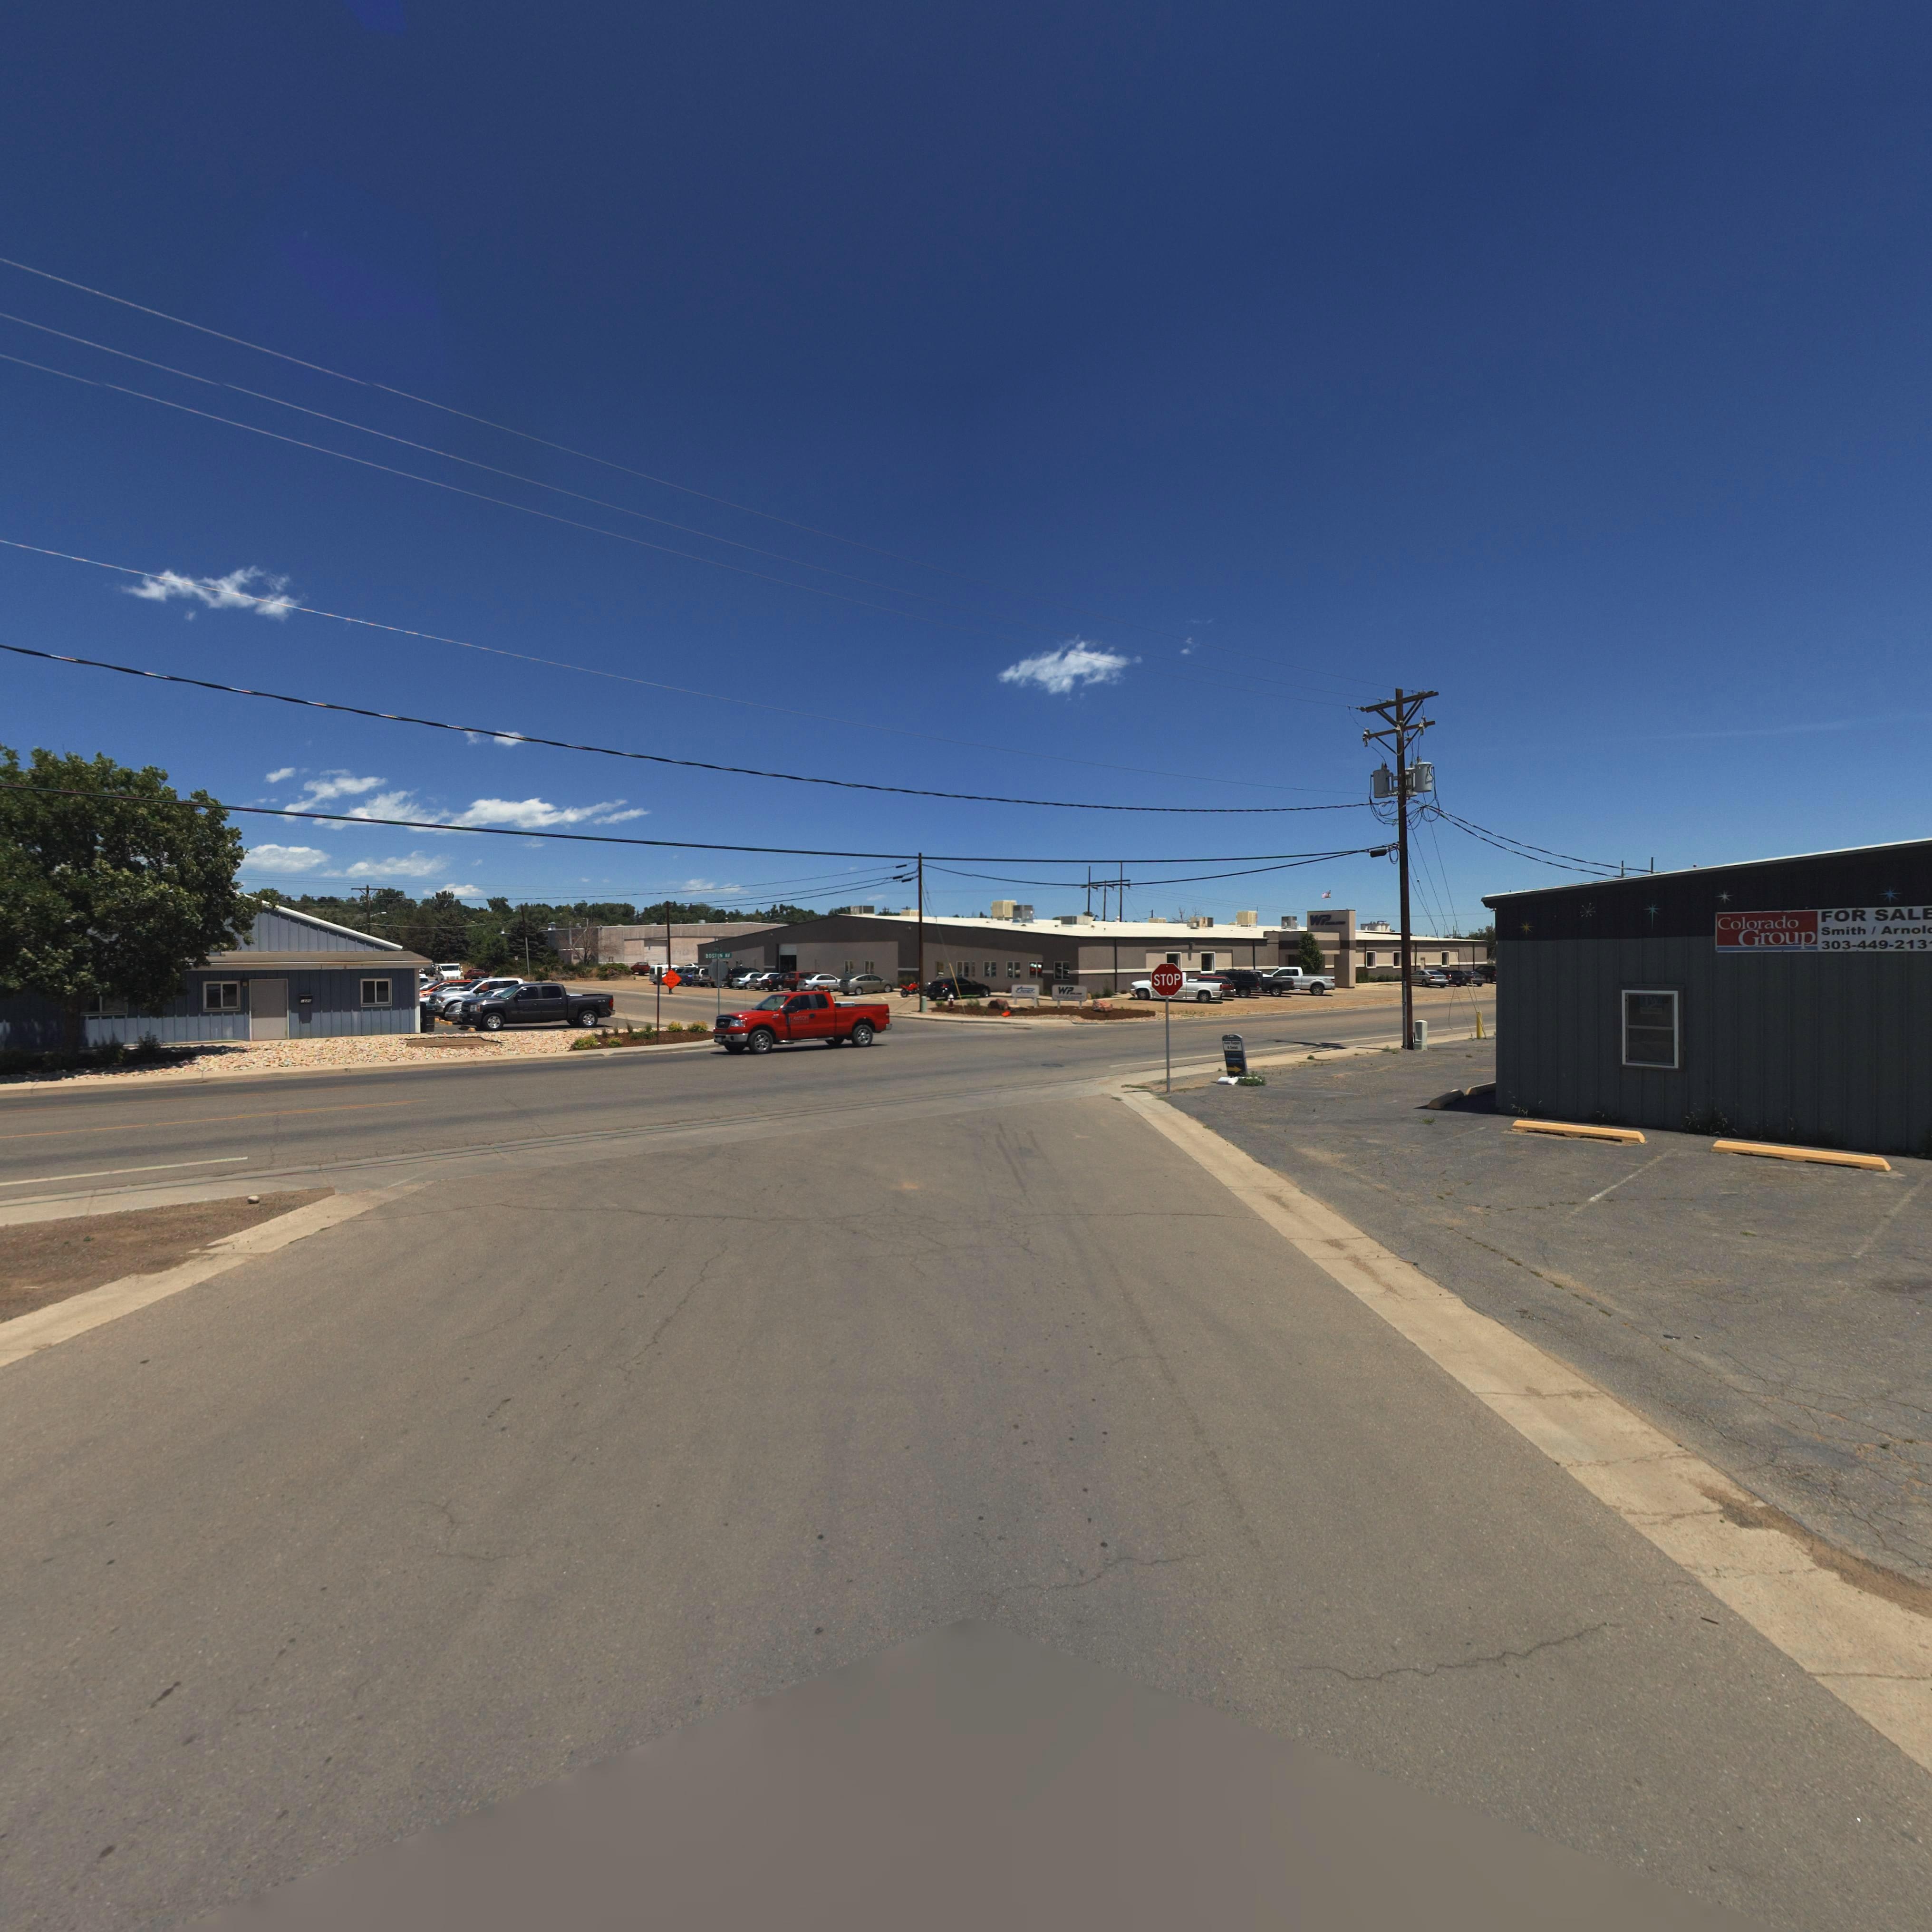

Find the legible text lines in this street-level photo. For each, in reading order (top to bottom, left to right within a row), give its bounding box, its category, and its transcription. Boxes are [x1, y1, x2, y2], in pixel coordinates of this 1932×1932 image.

[1309, 914, 1332, 926] BusinessName: WP
[705, 953, 730, 958] StreetName: BOSTON AV
[1057, 986, 1074, 995] BusinessName: WP